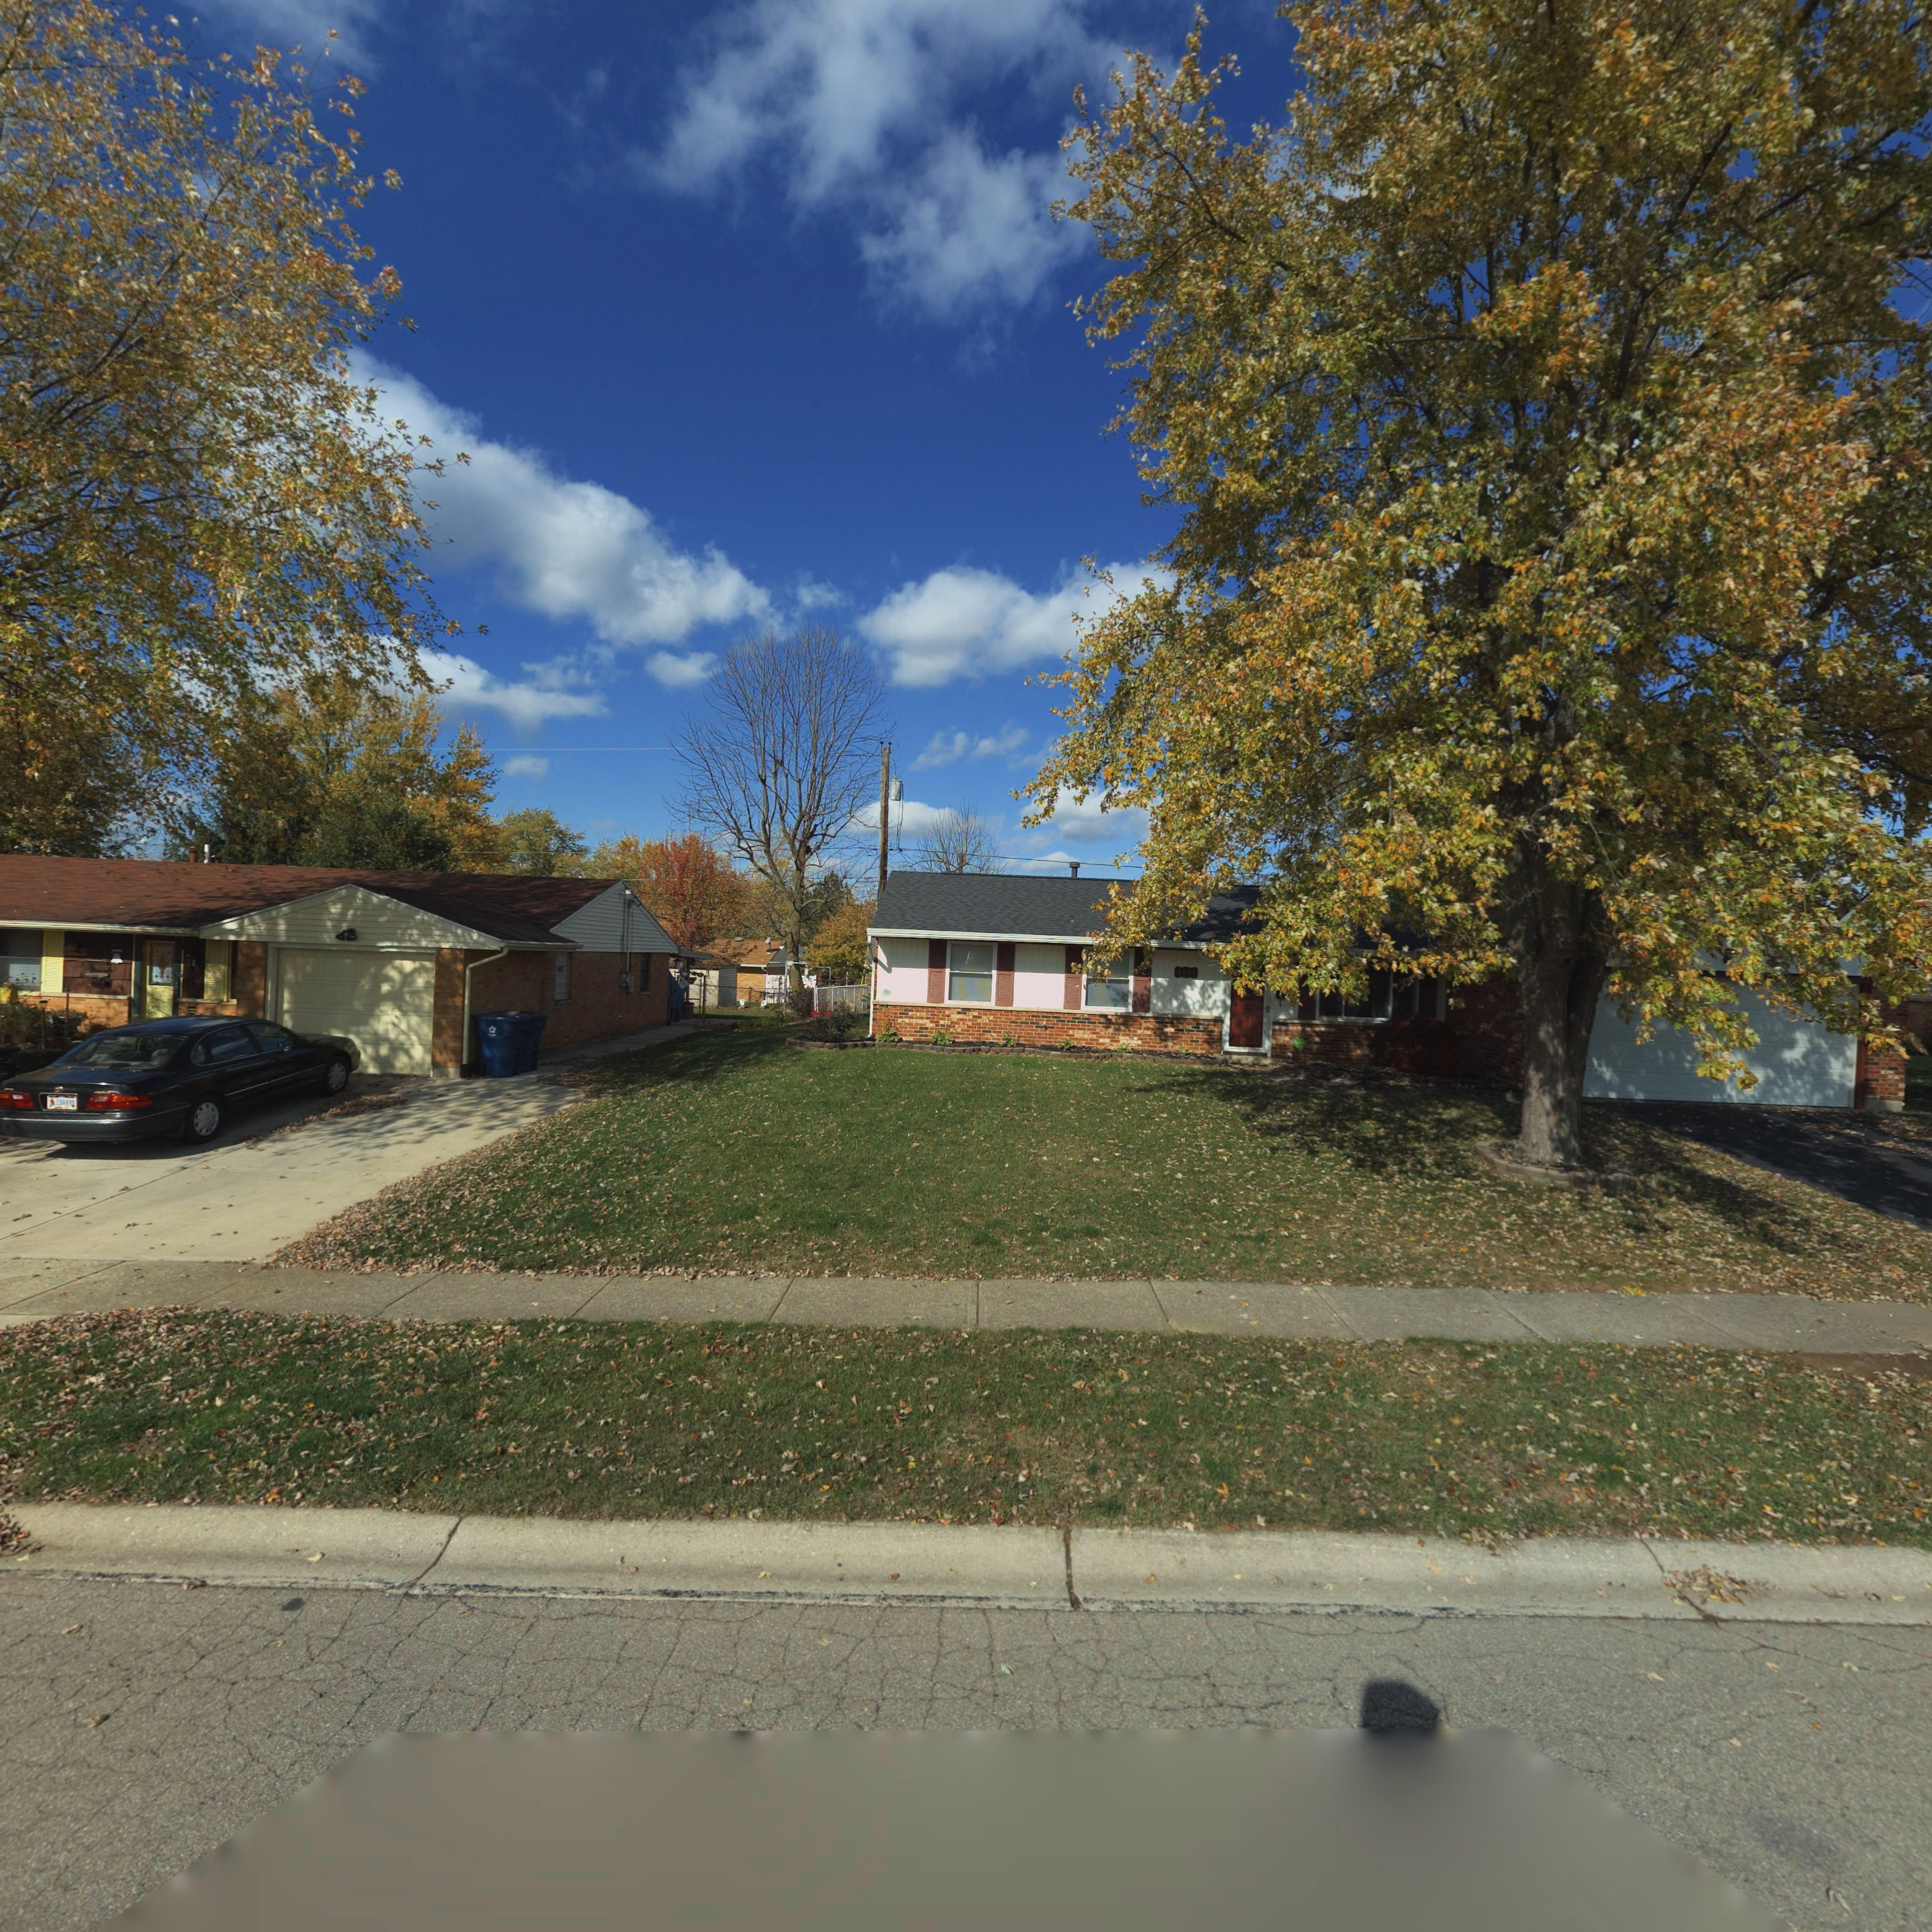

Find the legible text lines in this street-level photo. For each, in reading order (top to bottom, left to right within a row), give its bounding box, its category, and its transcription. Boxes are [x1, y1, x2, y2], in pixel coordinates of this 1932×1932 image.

[1178, 969, 1195, 976] StreetNumber: 764*